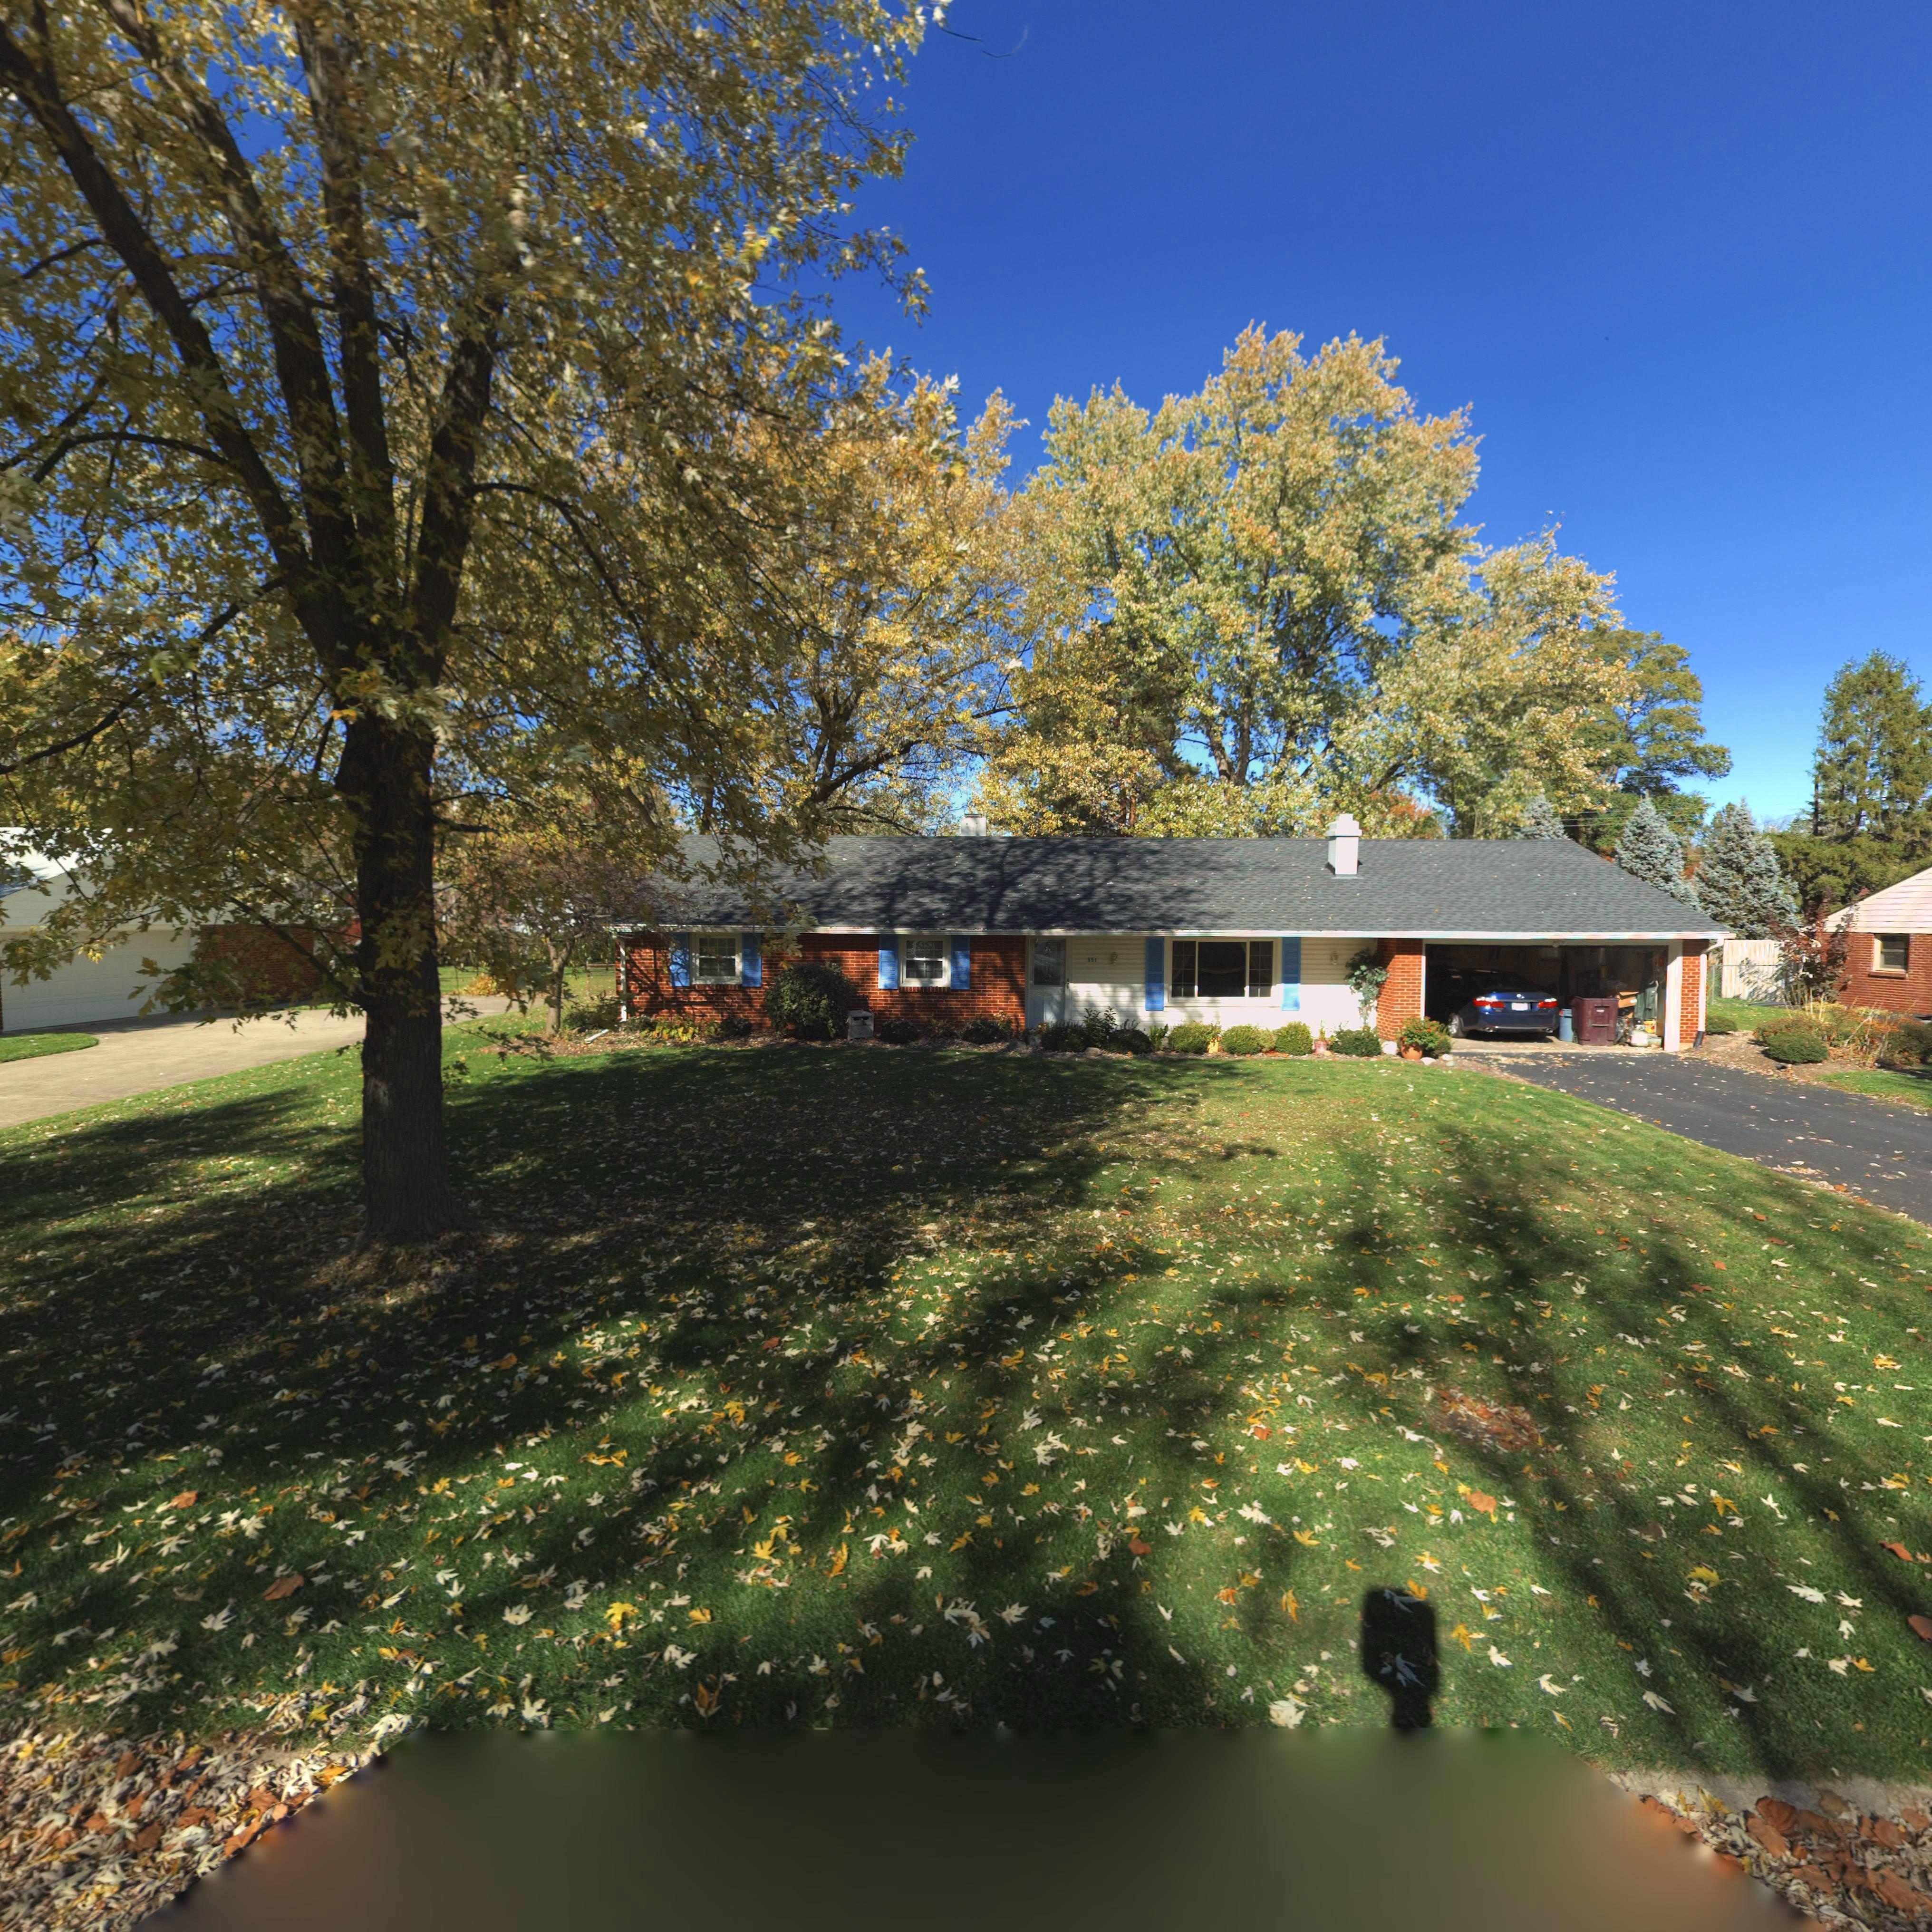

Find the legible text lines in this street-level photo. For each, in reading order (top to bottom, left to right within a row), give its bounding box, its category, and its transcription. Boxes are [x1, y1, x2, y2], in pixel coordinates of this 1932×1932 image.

[1087, 957, 1097, 963] StreetNumber: 551